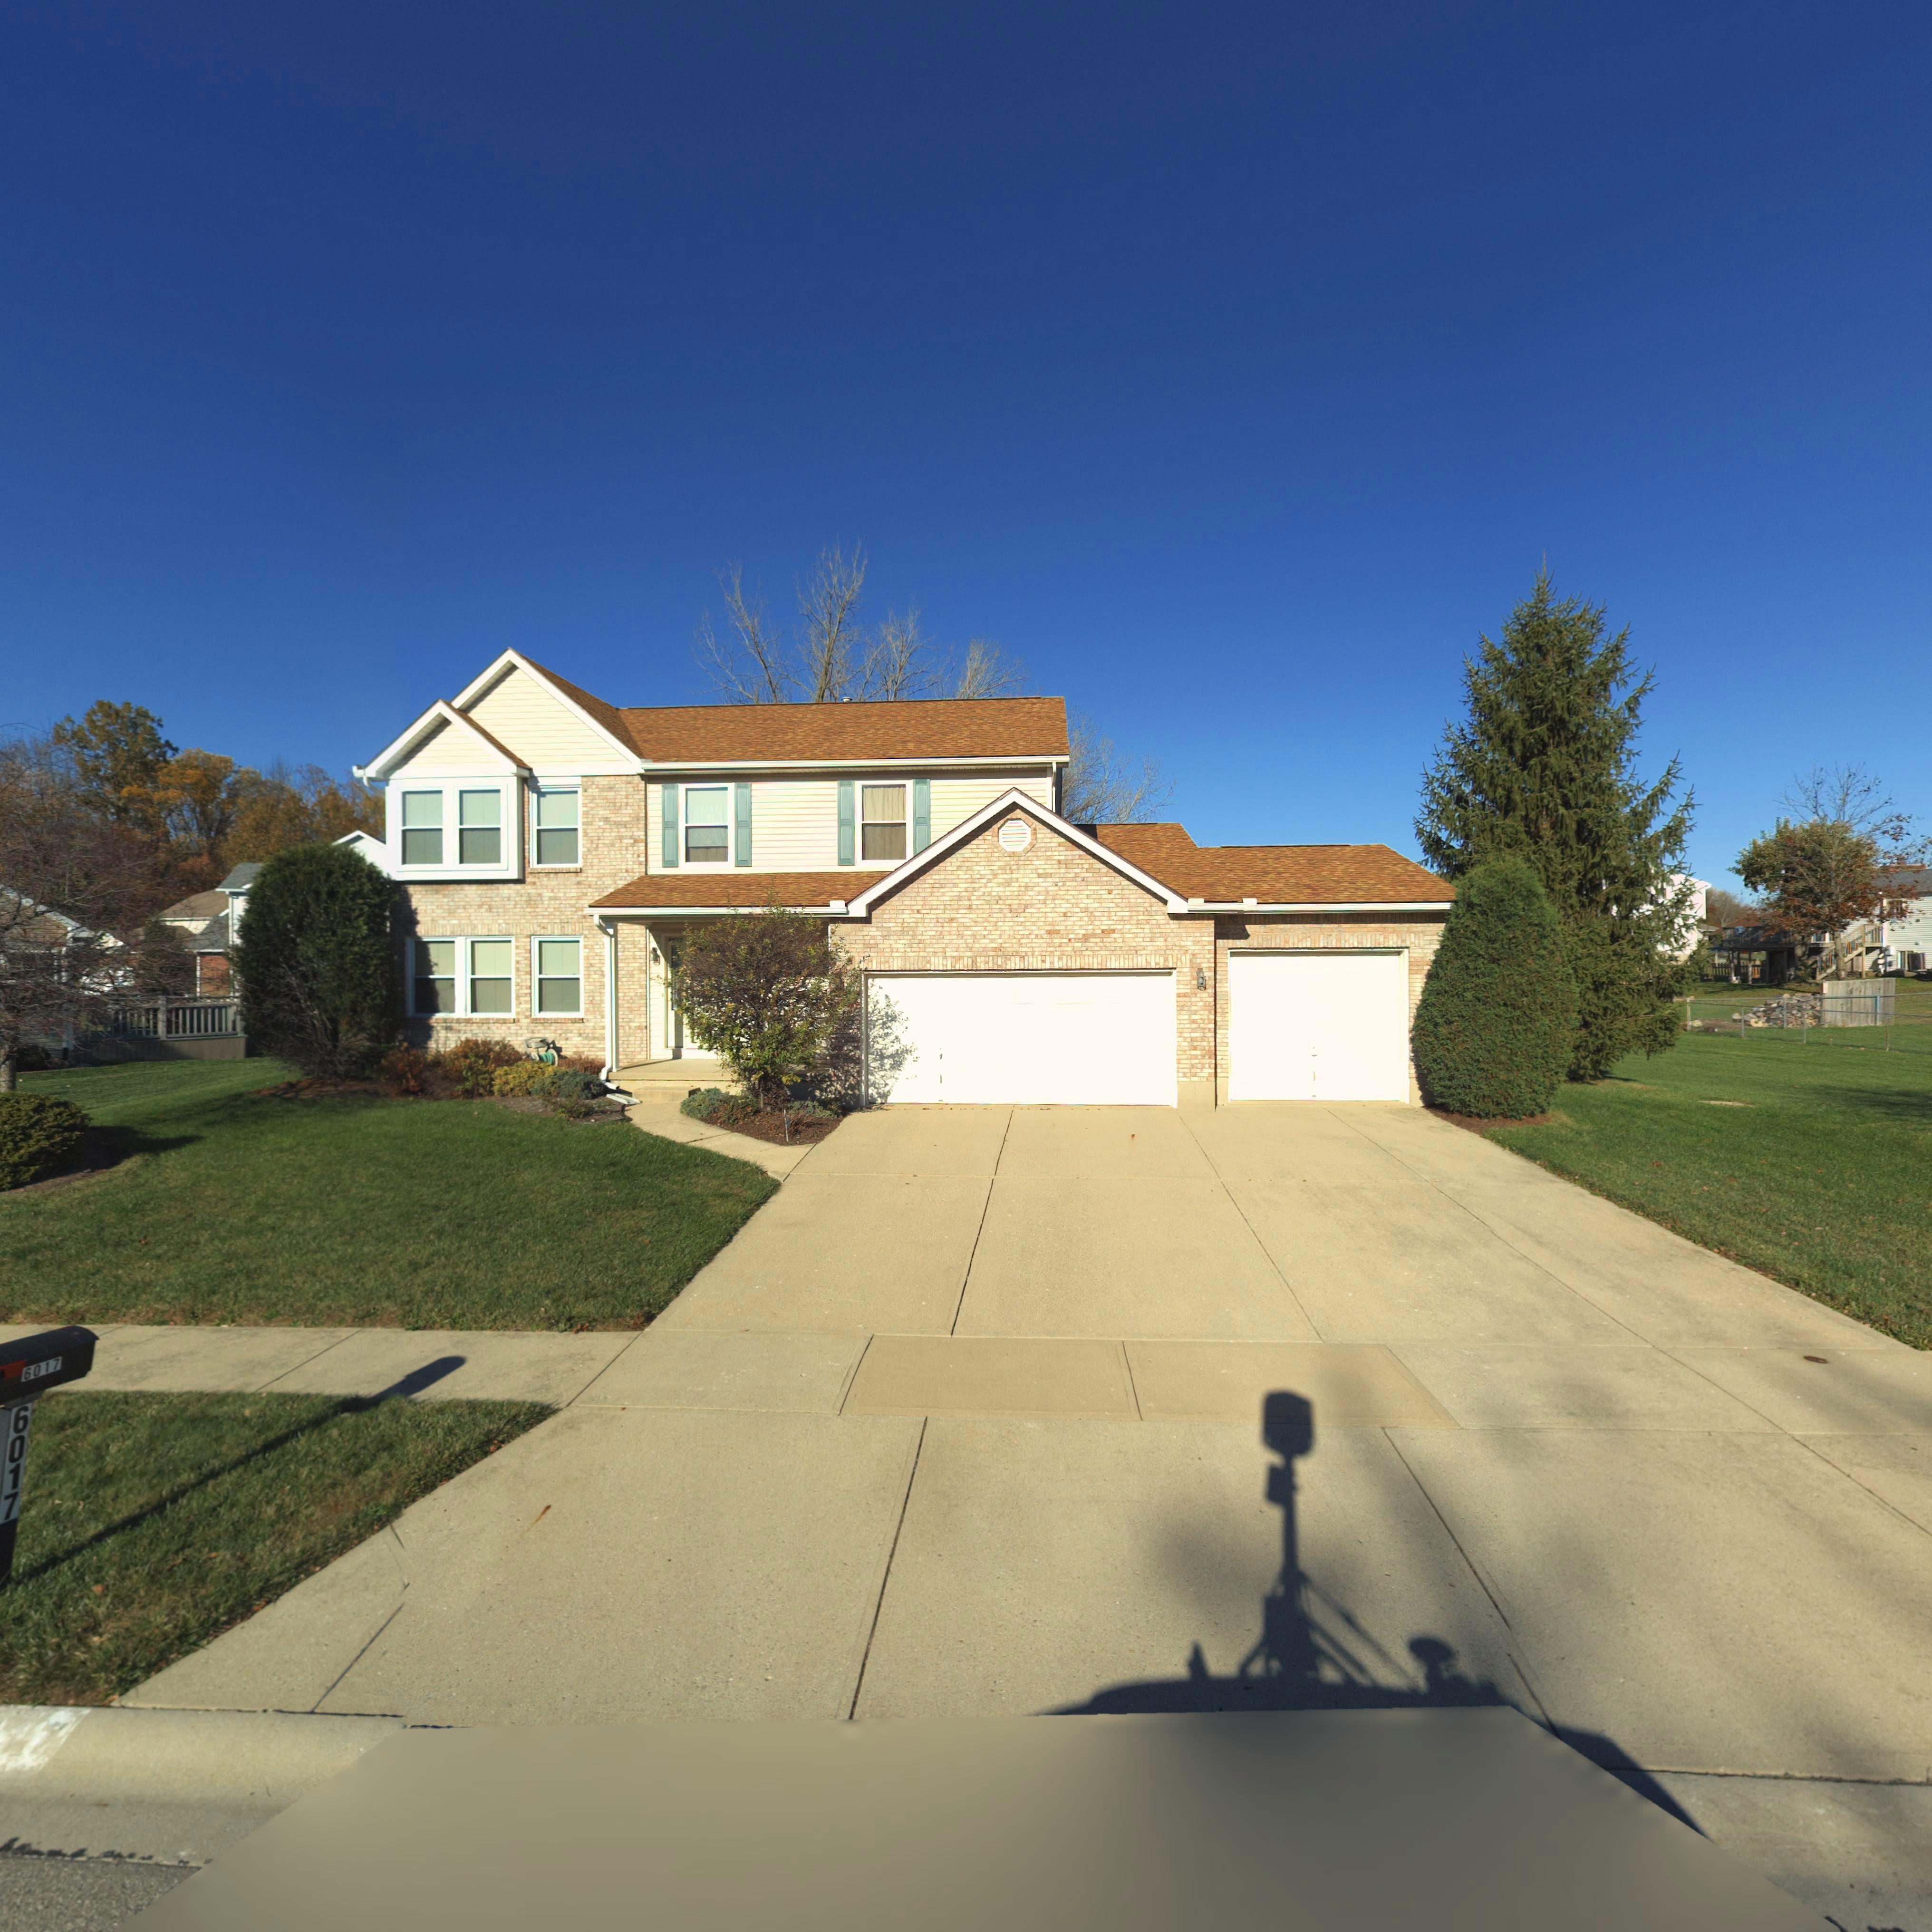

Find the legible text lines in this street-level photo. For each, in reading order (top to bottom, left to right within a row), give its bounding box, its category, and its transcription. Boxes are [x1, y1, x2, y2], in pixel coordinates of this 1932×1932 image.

[675, 937, 684, 944] StreetNumber: 17
[22, 1355, 63, 1382] StreetNumber: 6017
[1, 1402, 31, 1523] StreetNumber: 6017